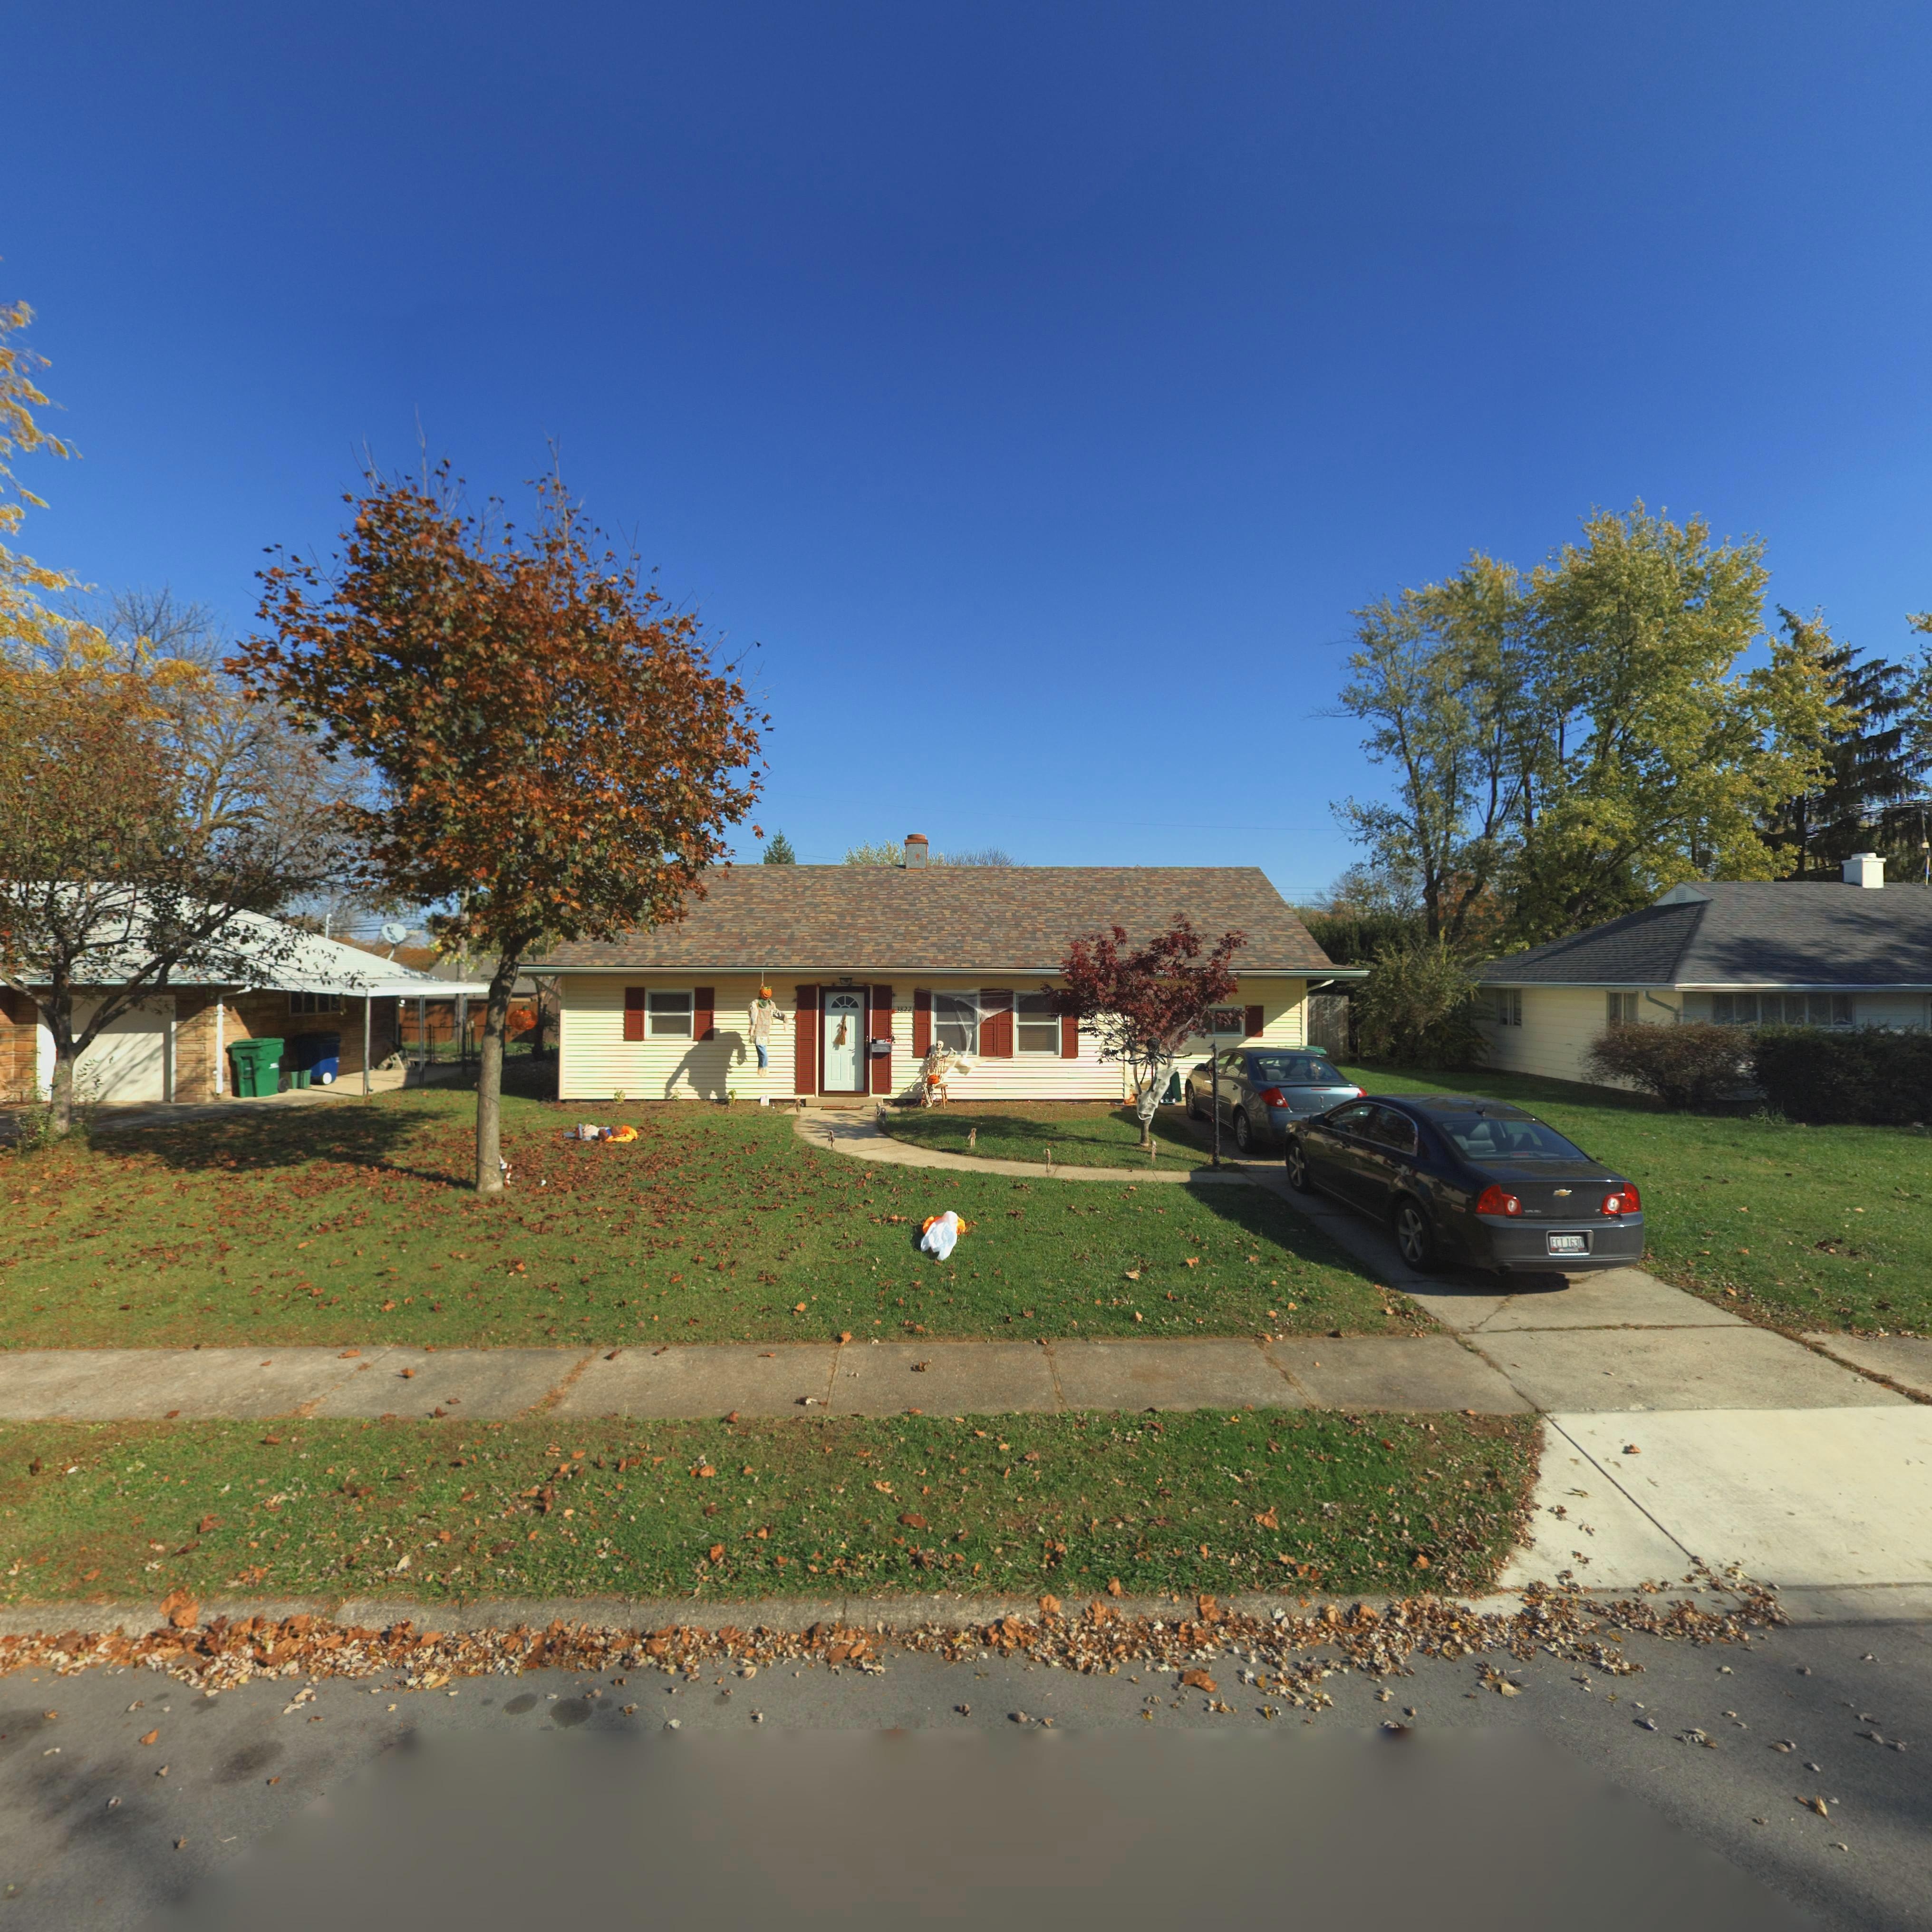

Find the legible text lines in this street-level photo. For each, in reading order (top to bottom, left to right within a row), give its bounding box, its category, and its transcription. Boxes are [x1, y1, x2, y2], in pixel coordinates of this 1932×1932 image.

[896, 1006, 912, 1013] StreetNumber: 3822
[1551, 1237, 1585, 1248] None: ECT 1630